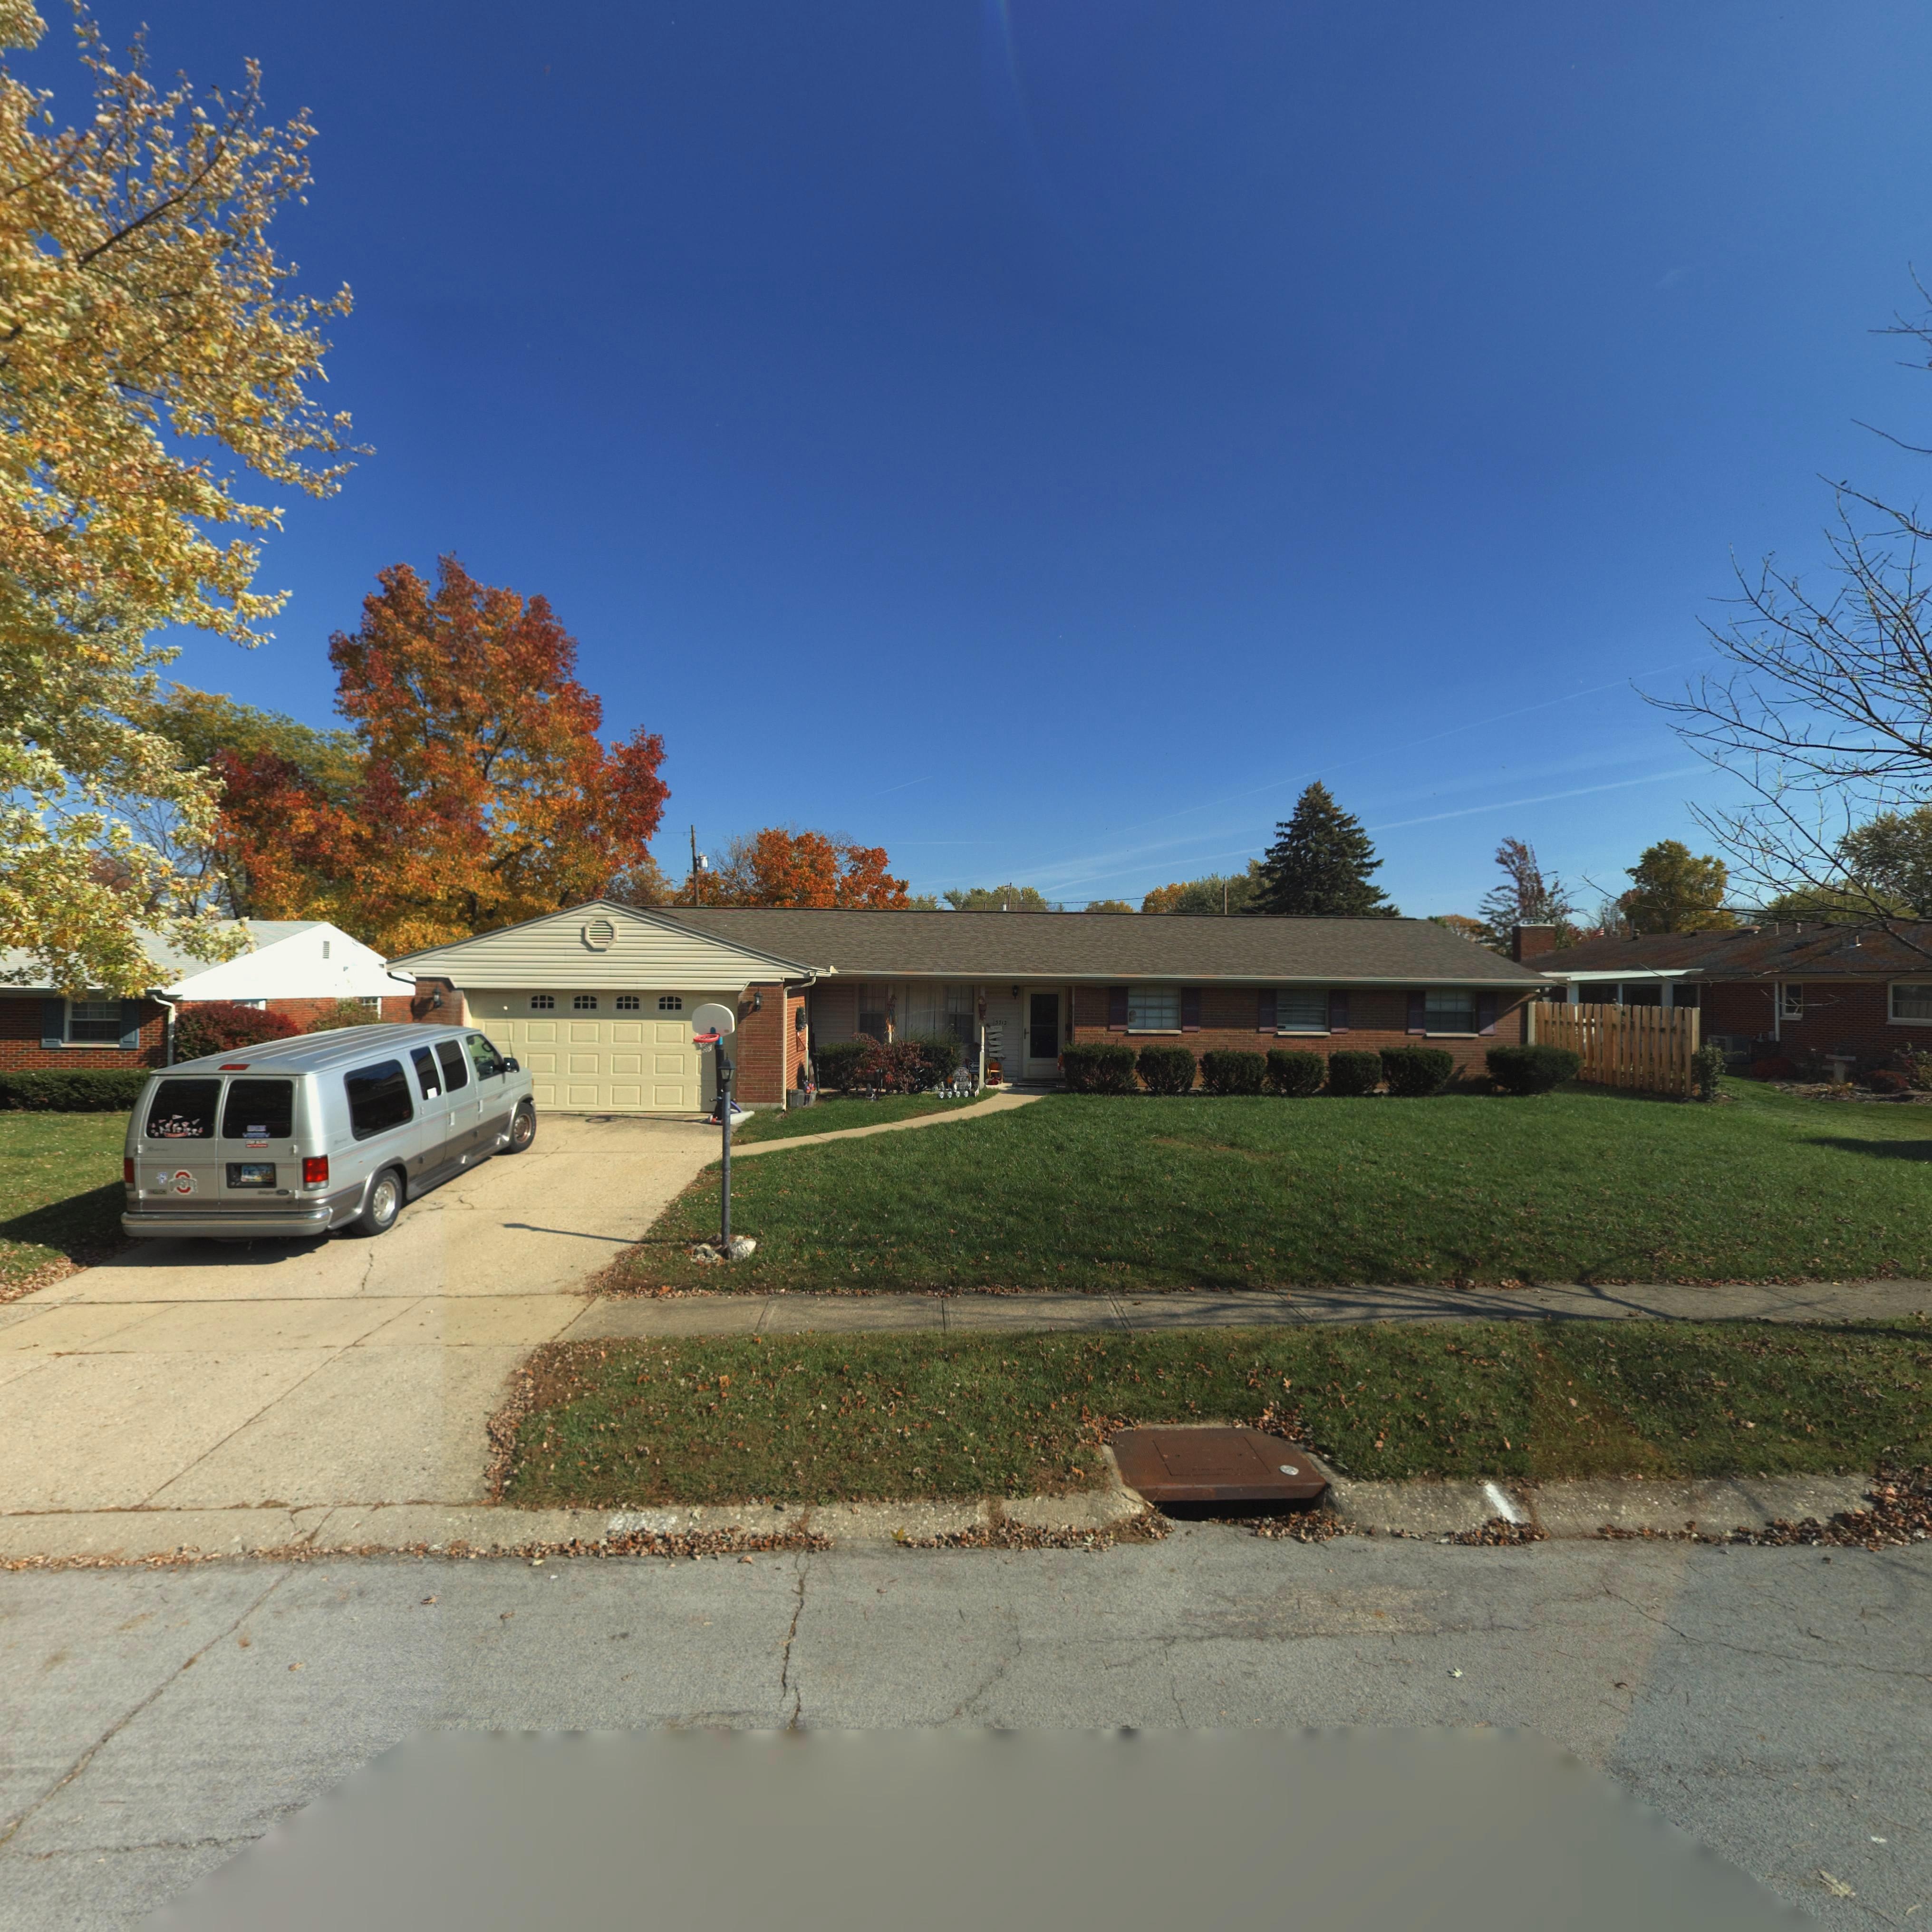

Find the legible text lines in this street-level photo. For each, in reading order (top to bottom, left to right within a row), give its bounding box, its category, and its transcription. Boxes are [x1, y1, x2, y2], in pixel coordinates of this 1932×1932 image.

[995, 1019, 1007, 1026] StreetNumber: 3712